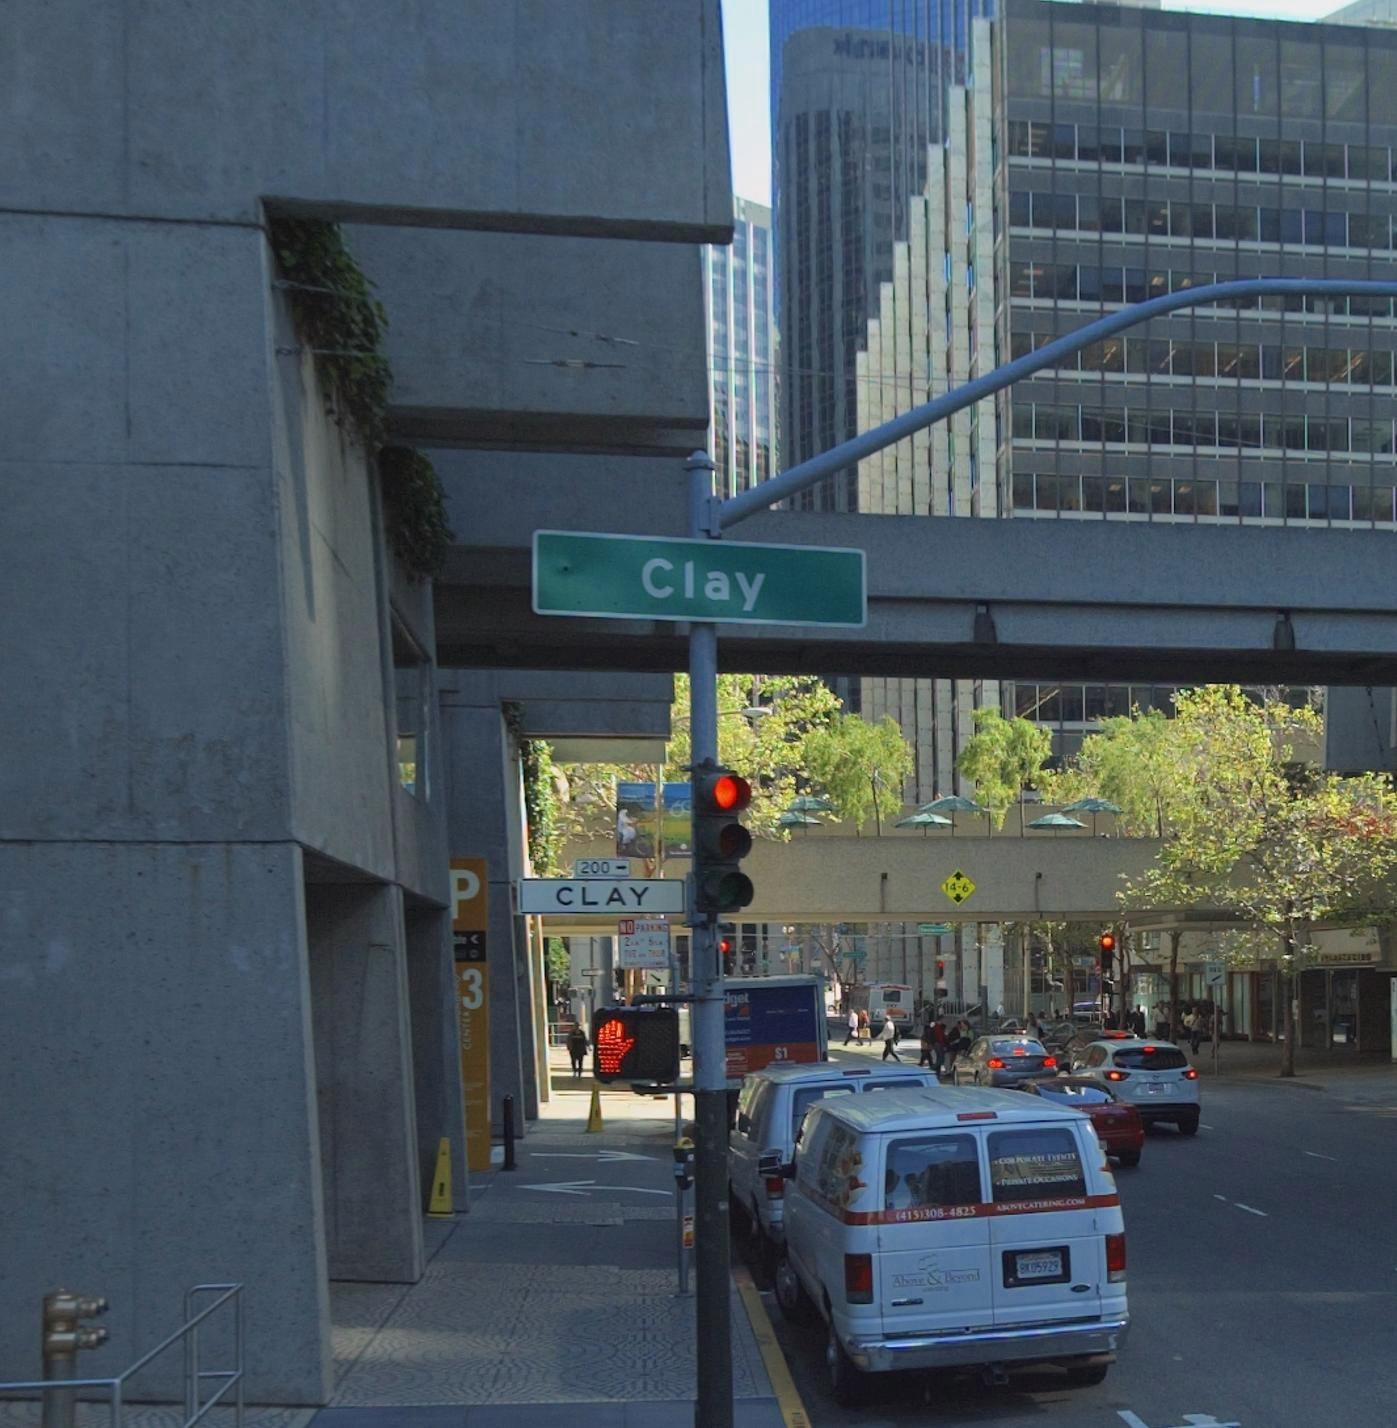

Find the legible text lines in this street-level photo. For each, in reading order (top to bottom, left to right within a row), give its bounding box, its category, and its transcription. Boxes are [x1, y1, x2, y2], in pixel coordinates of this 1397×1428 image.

[637, 555, 770, 614] StreetName: Clay
[666, 796, 687, 822] None: 6
[576, 859, 630, 877] StreetNumberRange: 200->
[552, 885, 653, 909] StreetName: CLAY > [200]
[943, 879, 971, 895] None: 14-6
[617, 919, 635, 935] None: NO
[622, 935, 632, 949] None: 2
[645, 934, 656, 949] None: 5
[460, 965, 486, 1013] None: 3
[728, 990, 752, 1010] None: get
[780, 1044, 791, 1060] None: 1
[893, 1203, 979, 1224] None: (415)308-4825
[1017, 1257, 1061, 1277] None: 8K05929
[889, 1265, 983, 1290] None: A**** & B*****d